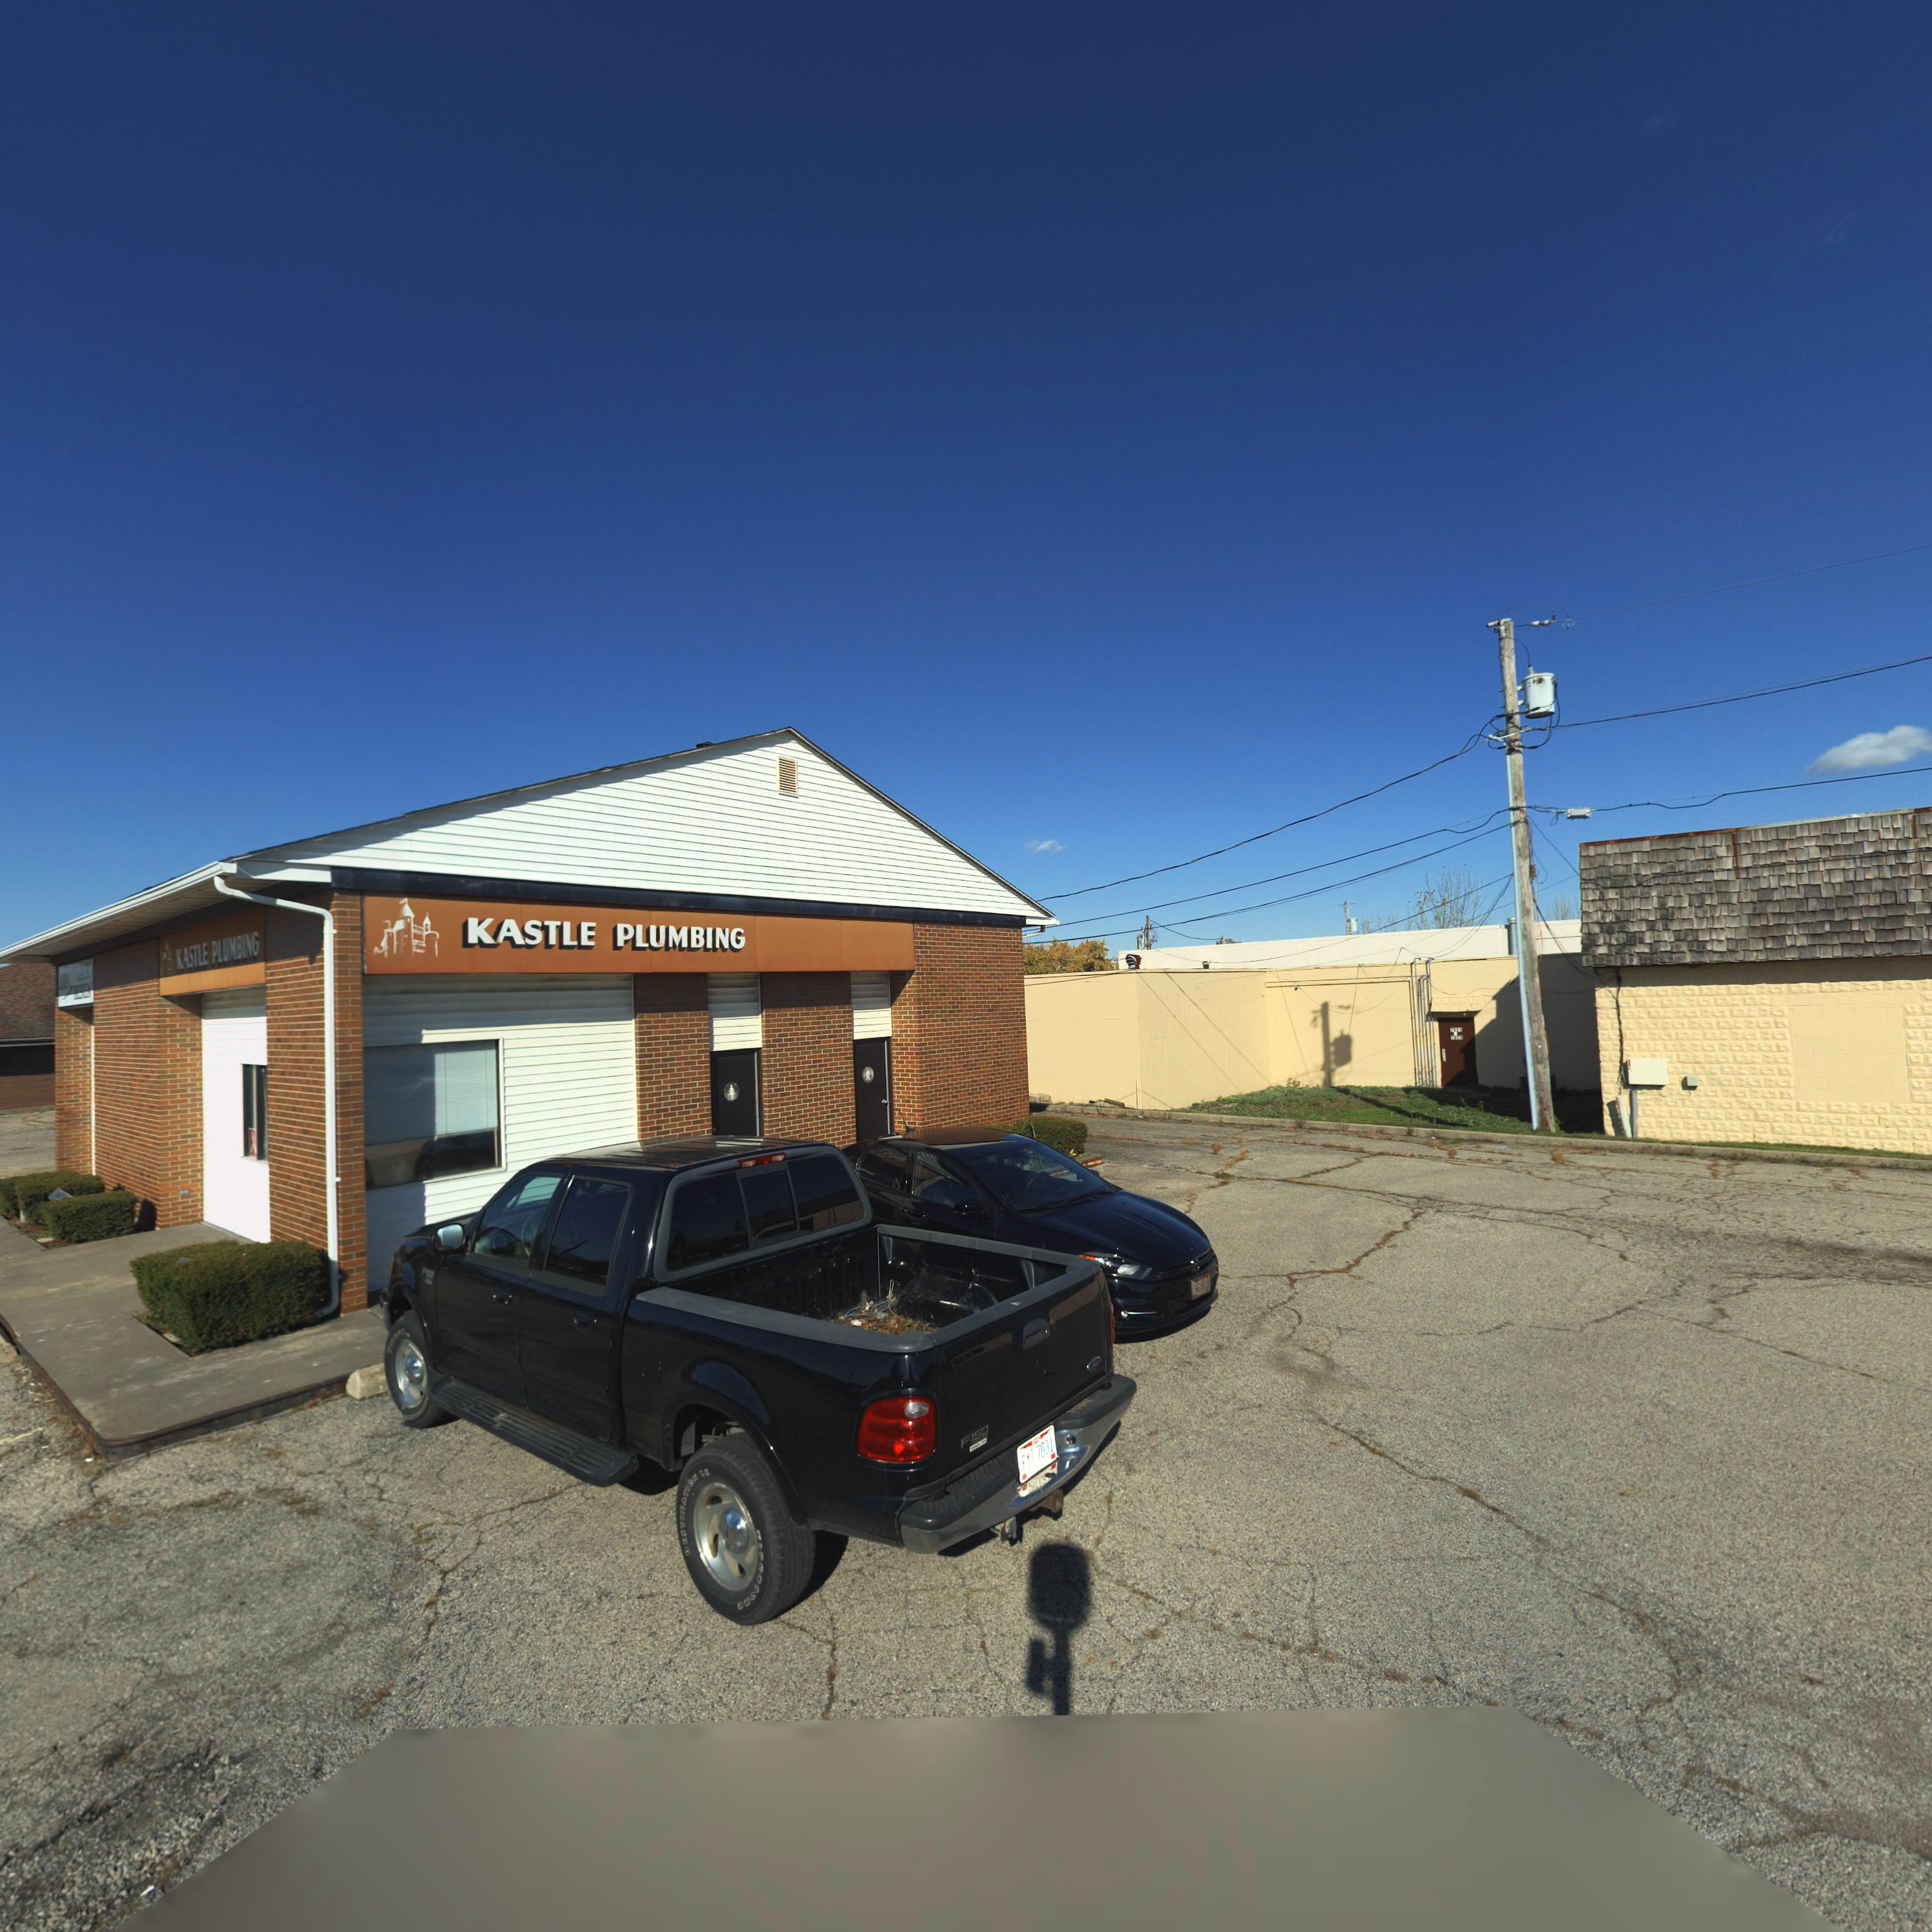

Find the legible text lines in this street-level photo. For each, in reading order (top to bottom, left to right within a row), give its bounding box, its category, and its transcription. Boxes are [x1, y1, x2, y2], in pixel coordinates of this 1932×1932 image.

[175, 929, 260, 971] BusinessName: KASTLE PLUMBING
[466, 916, 747, 952] BusinessName: KASTLE PLUMBING
[1450, 1027, 1462, 1032] StreetNumber: 752*
[1450, 1035, 1463, 1040] StreetNumber: 7523